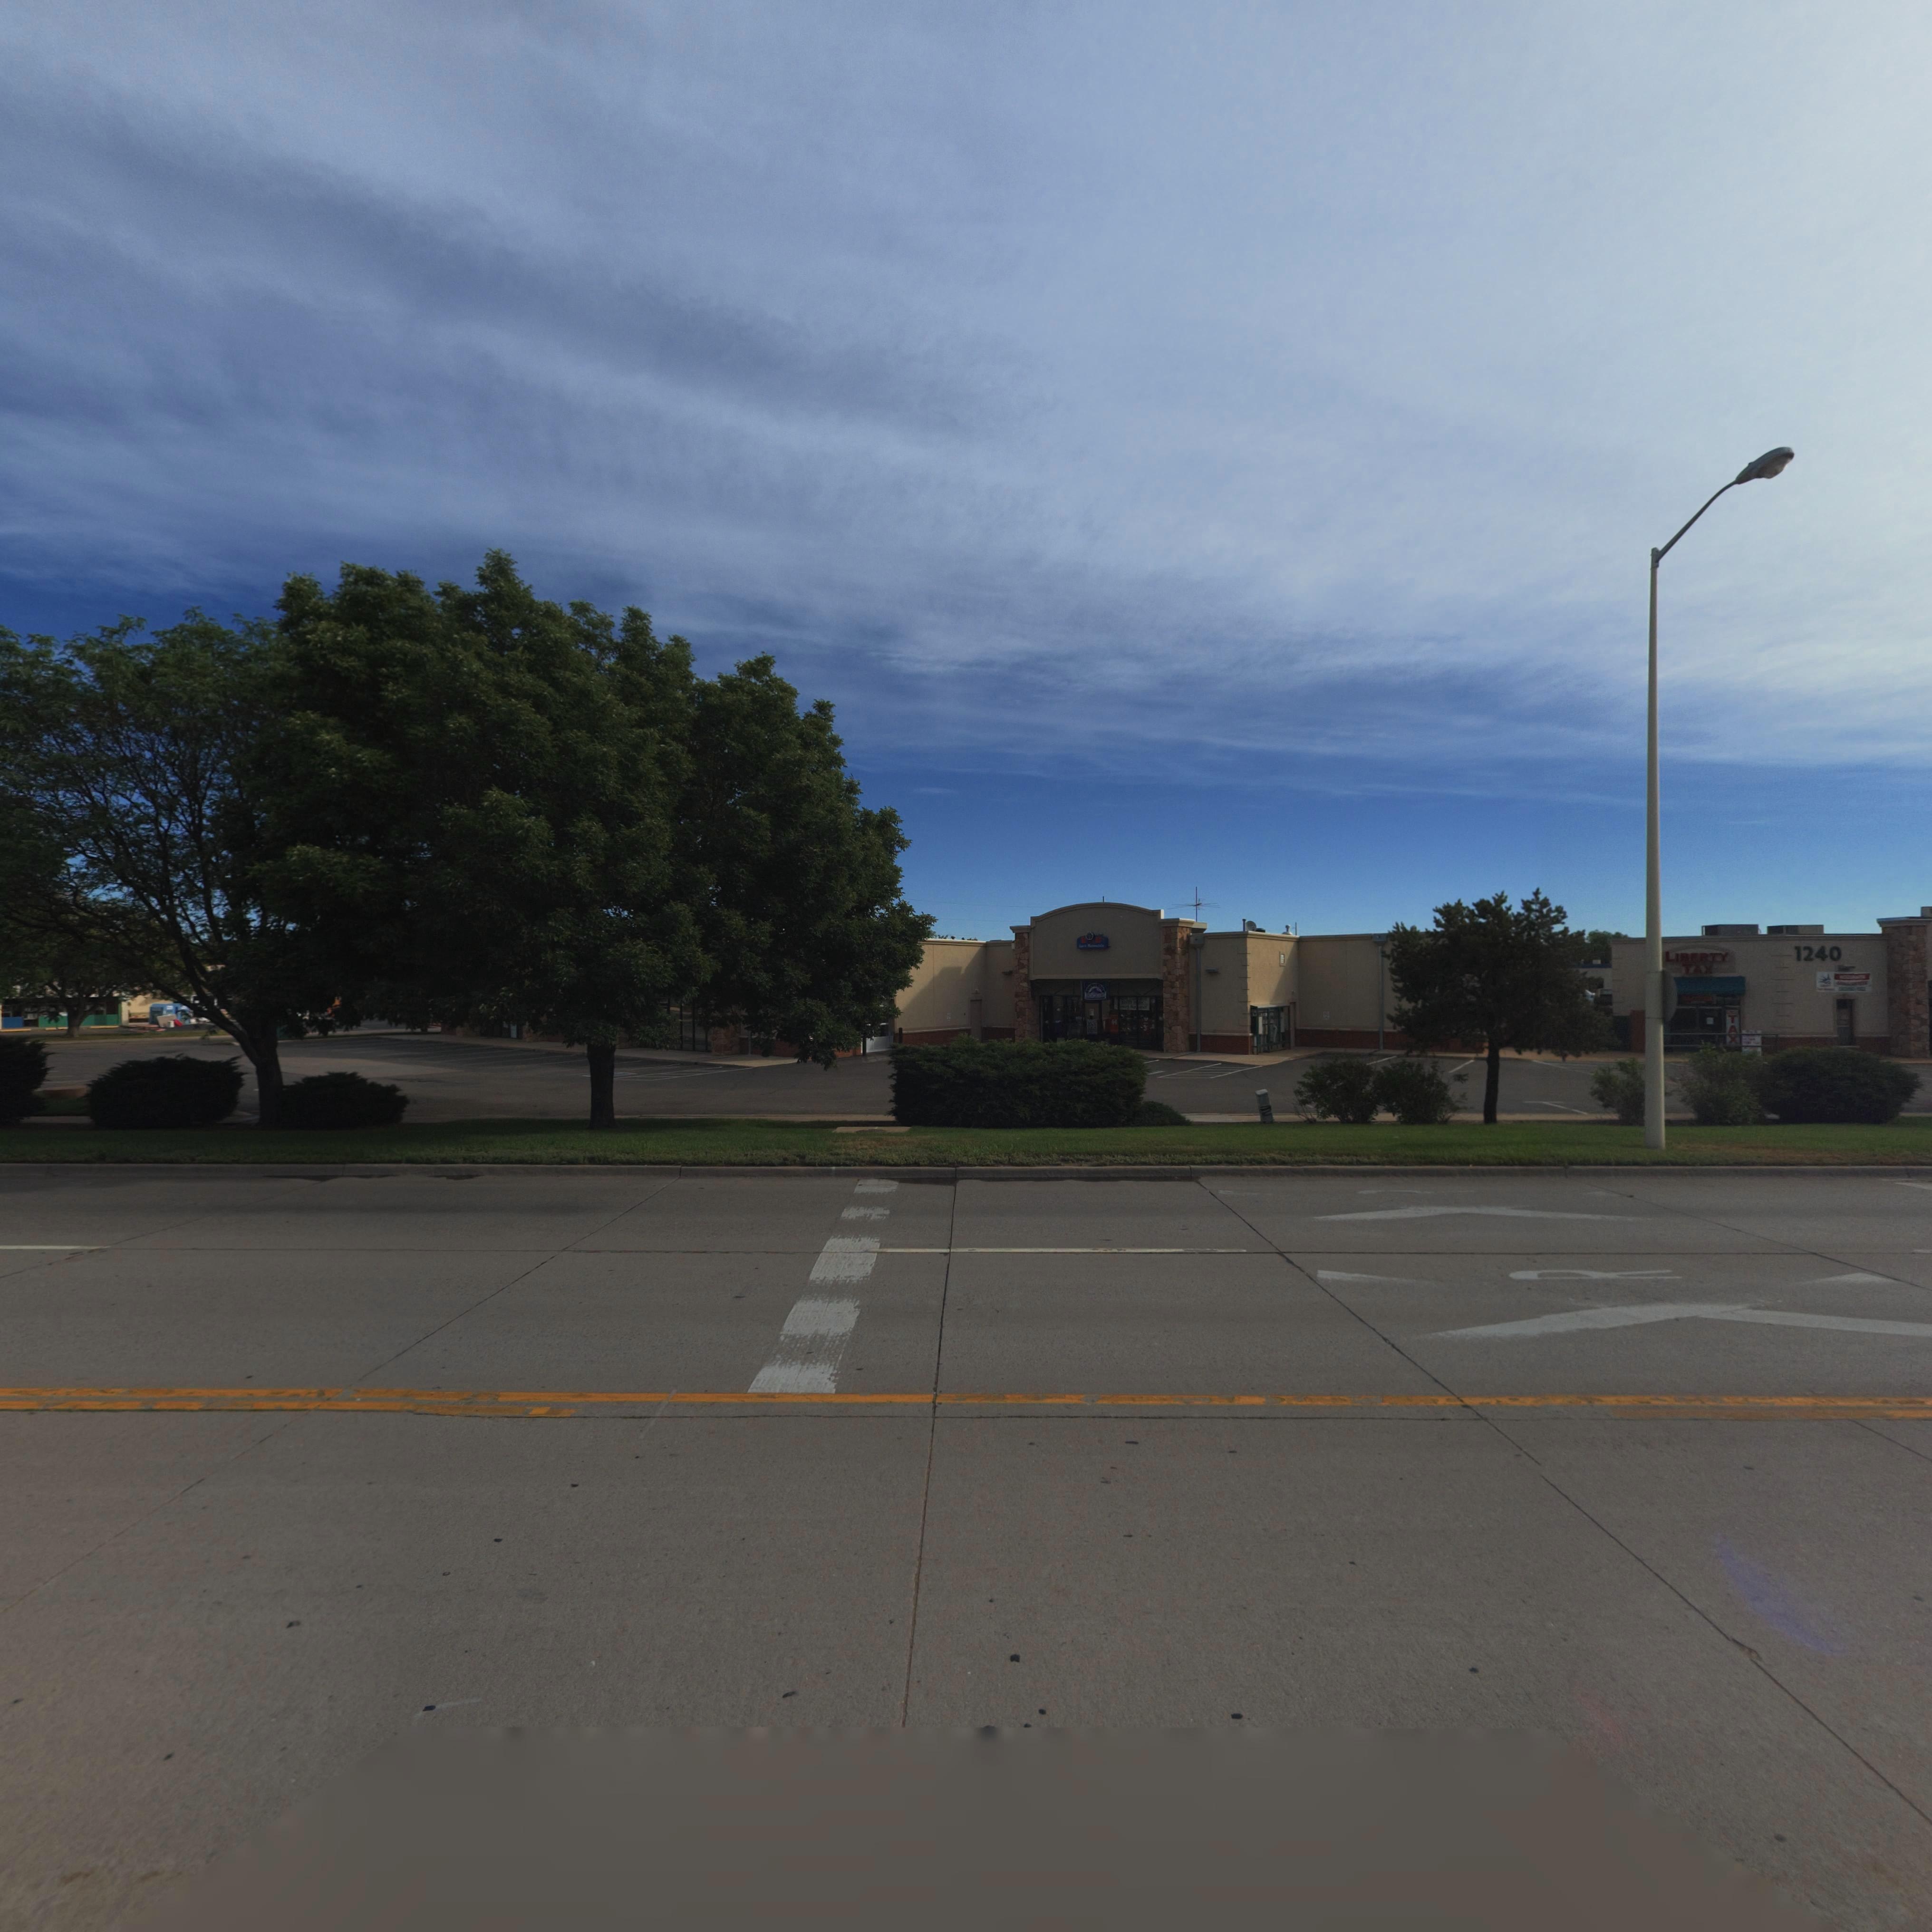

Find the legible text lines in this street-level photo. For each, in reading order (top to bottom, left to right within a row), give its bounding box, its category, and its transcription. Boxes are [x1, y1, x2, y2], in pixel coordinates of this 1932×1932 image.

[1664, 951, 1729, 962] BusinessName: LIBERTY
[1794, 946, 1842, 963] StreetNumber: 1240
[1681, 963, 1715, 974] BusinessName: TAX